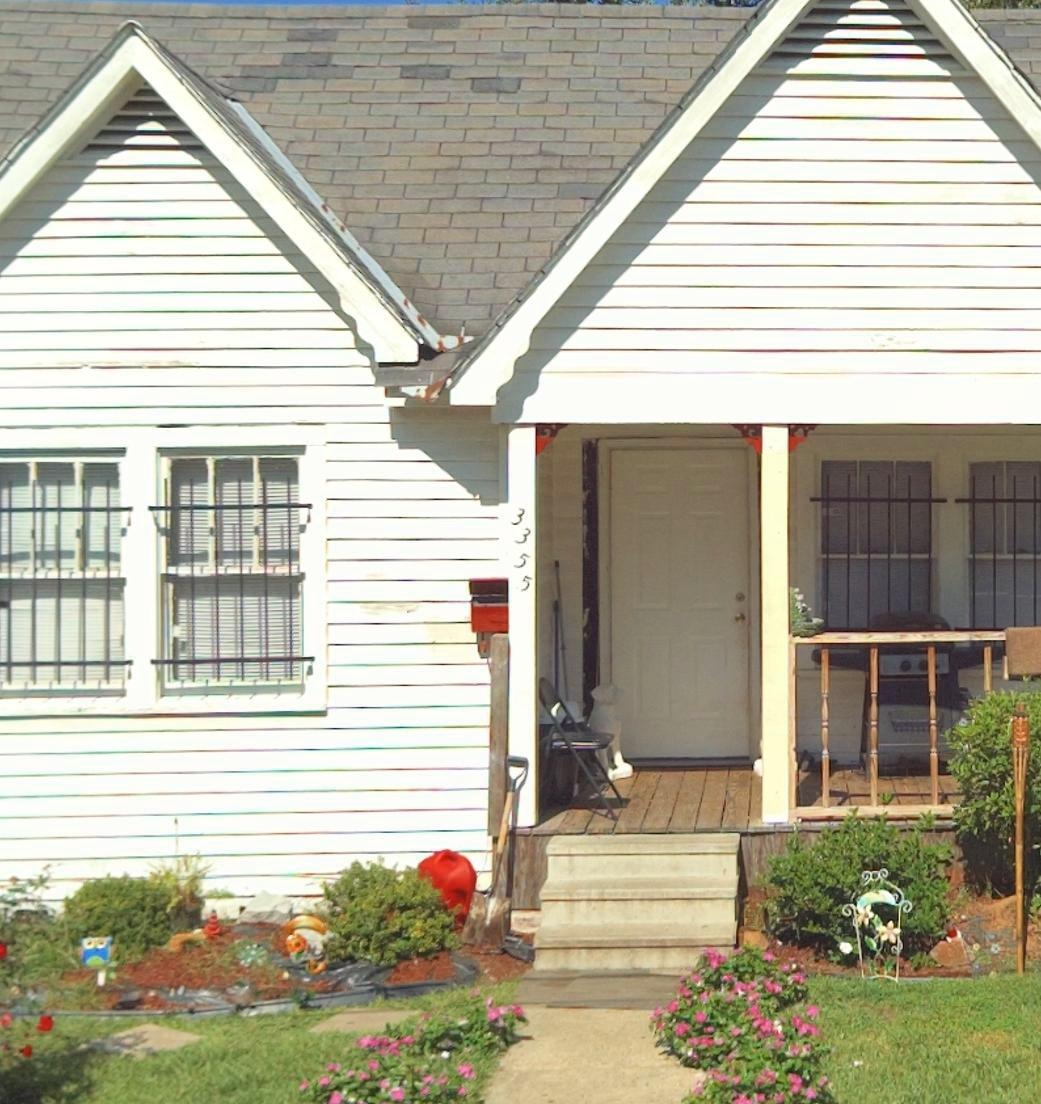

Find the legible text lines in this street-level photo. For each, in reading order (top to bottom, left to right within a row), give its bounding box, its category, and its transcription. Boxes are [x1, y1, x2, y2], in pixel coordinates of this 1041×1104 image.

[510, 506, 534, 594] StreetNumber: 3355